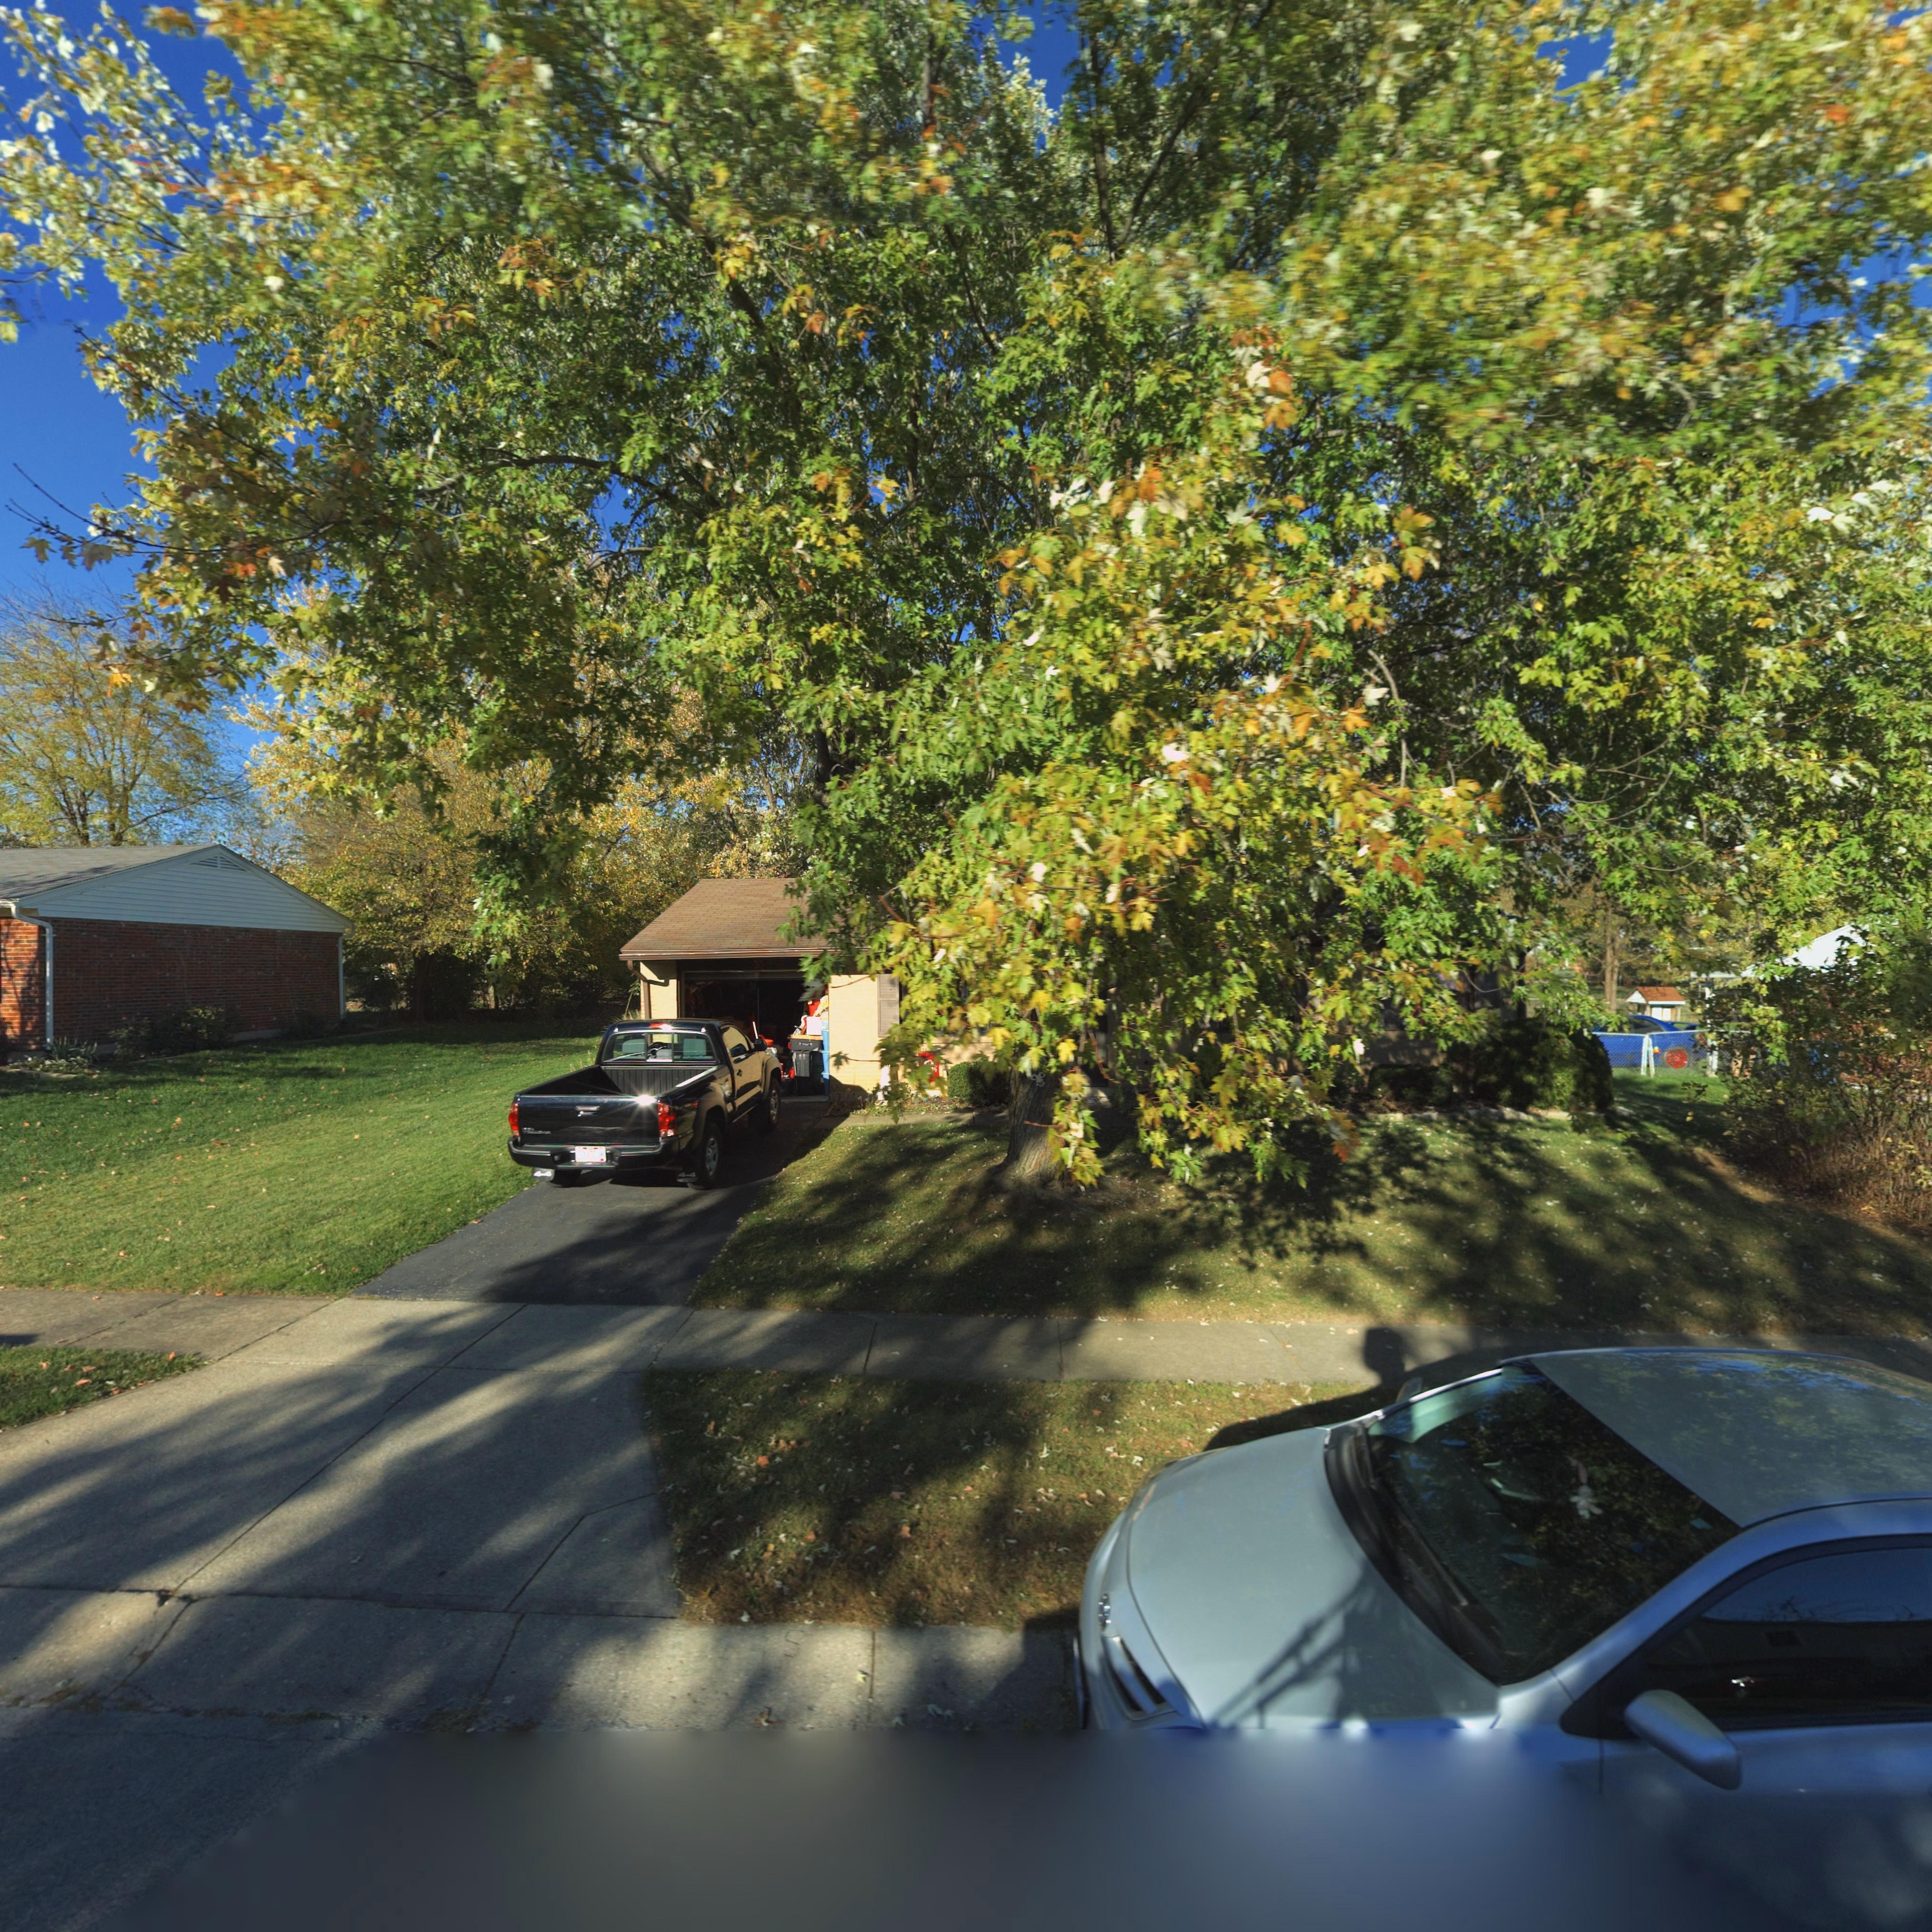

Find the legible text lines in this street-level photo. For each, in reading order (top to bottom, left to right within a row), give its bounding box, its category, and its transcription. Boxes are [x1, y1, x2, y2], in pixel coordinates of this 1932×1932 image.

[742, 960, 764, 969] StreetNumber: *055